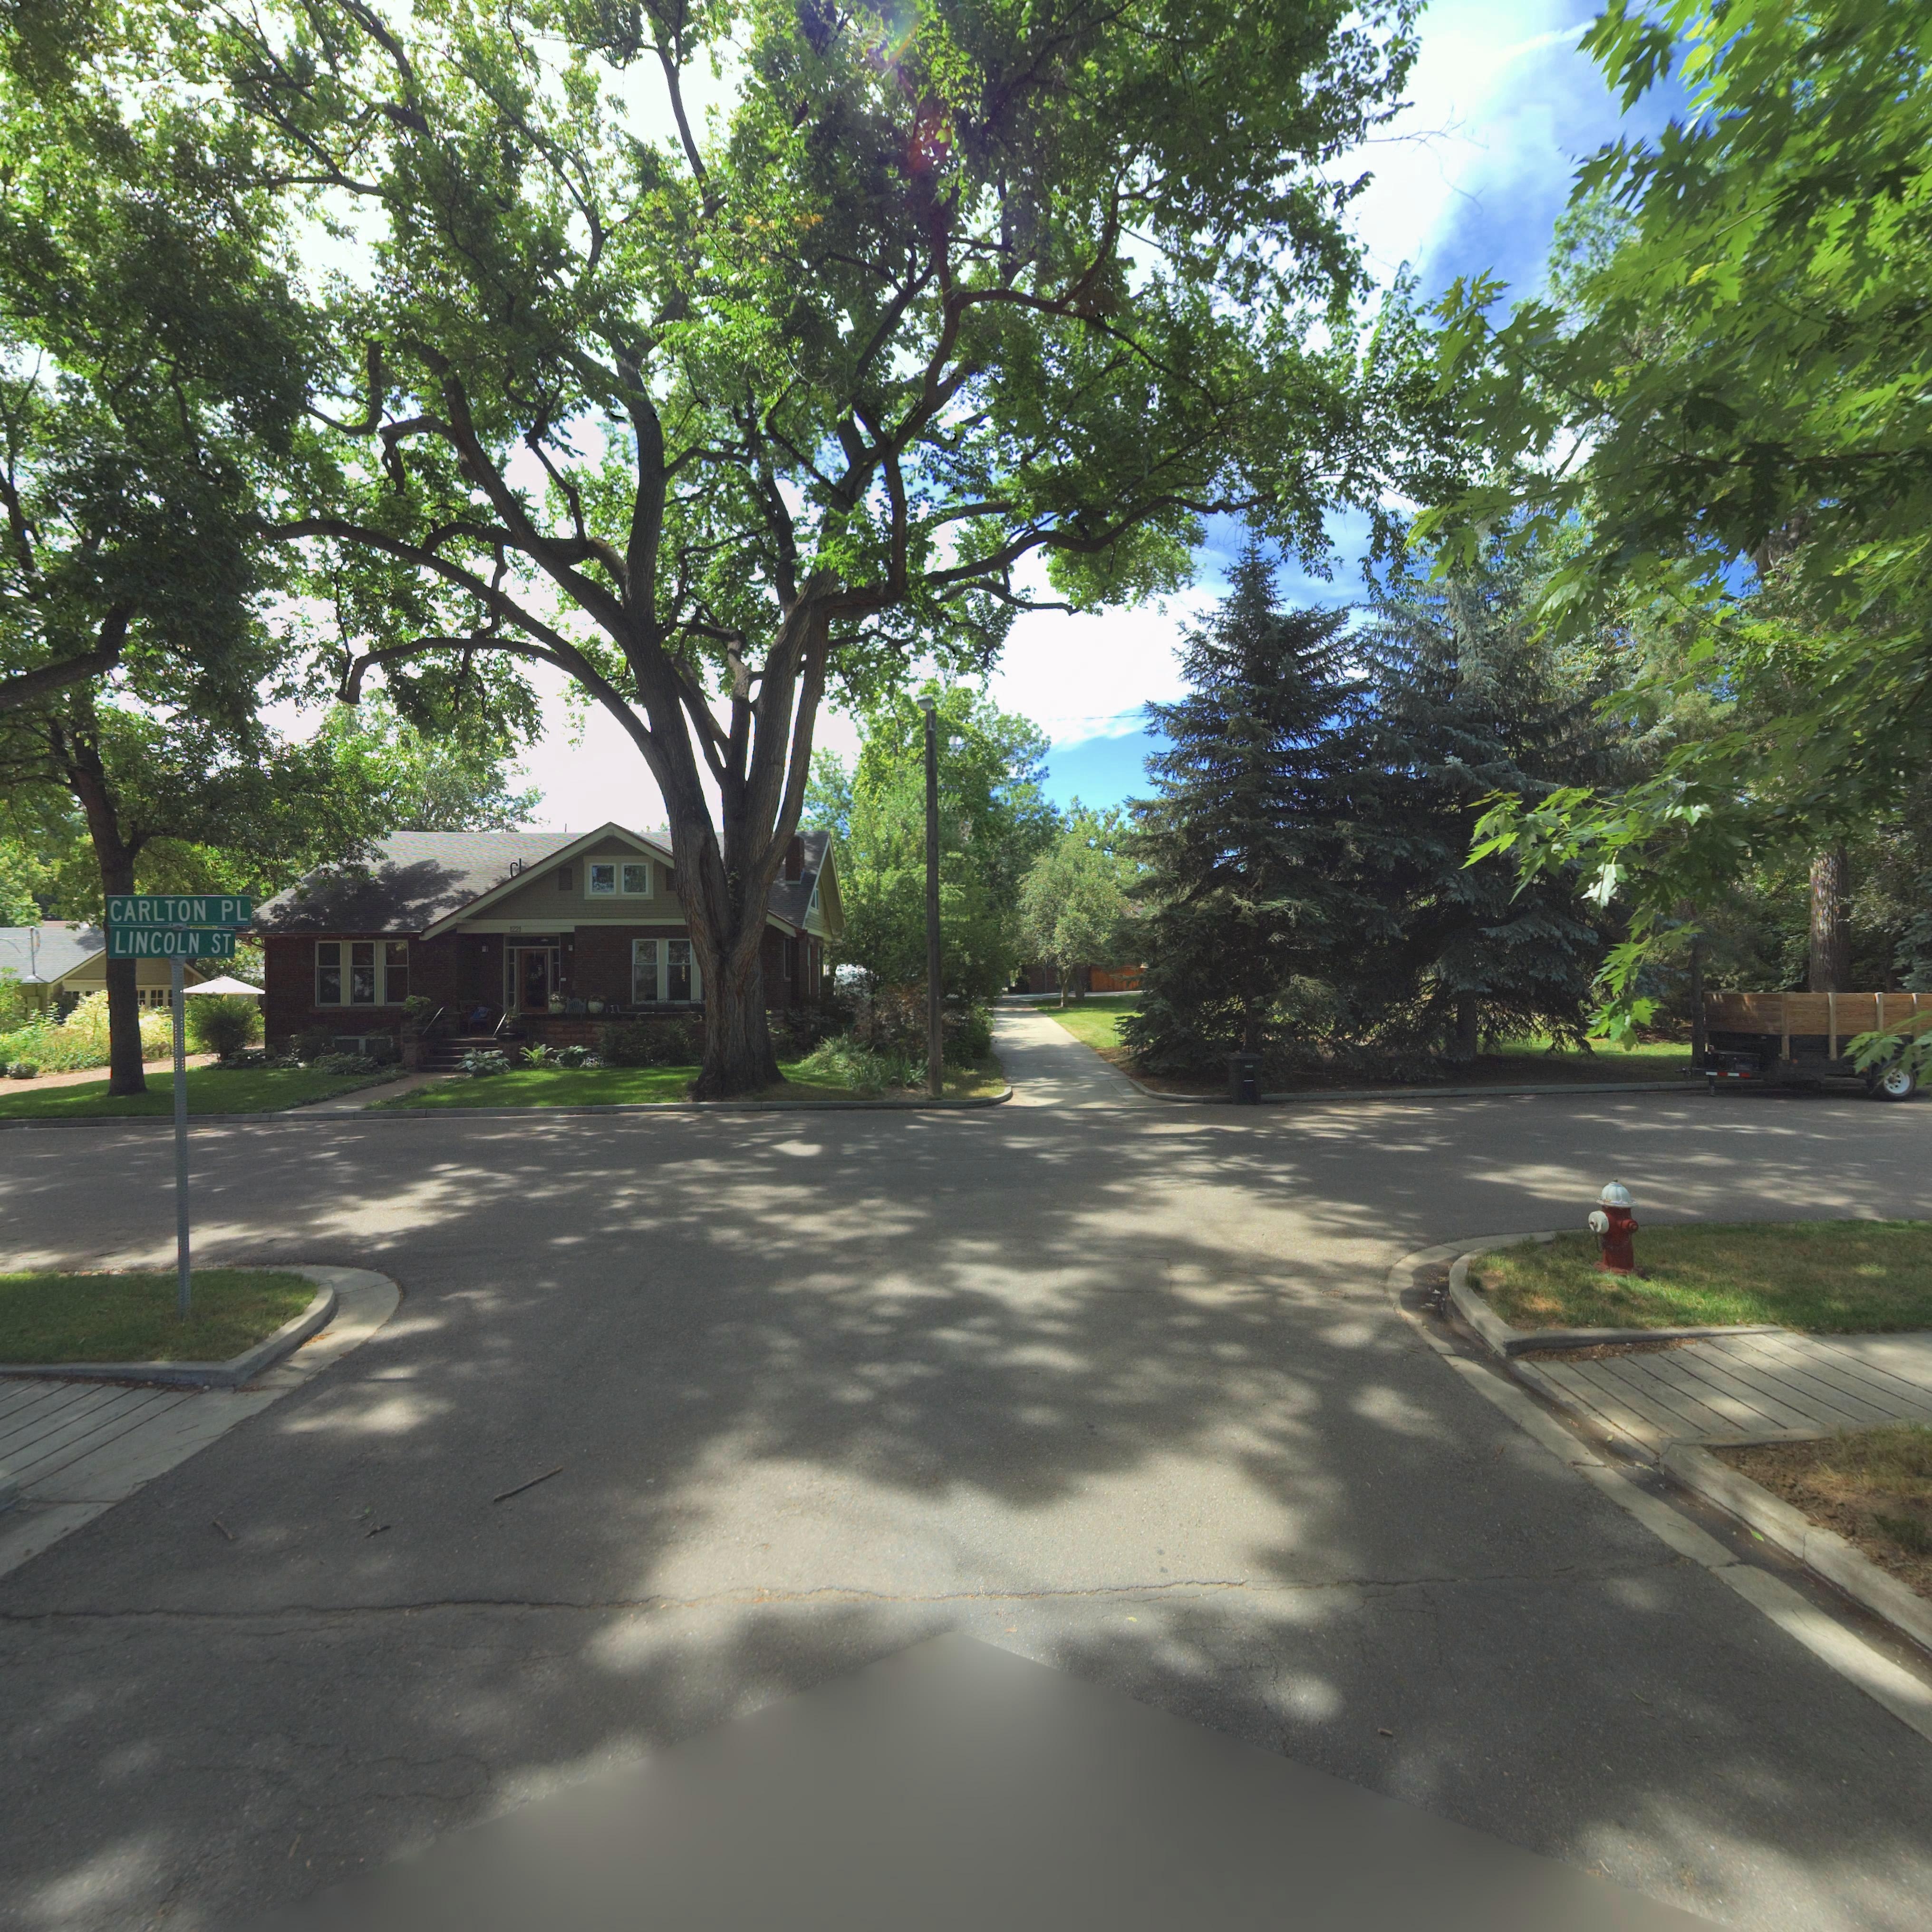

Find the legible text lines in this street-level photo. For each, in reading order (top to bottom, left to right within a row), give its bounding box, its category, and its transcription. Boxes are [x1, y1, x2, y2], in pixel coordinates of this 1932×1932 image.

[109, 899, 248, 922] StreetName: CARLTON PL
[510, 926, 521, 932] StreetNumber: 1221
[115, 930, 231, 953] StreetName: LINCOLN ST